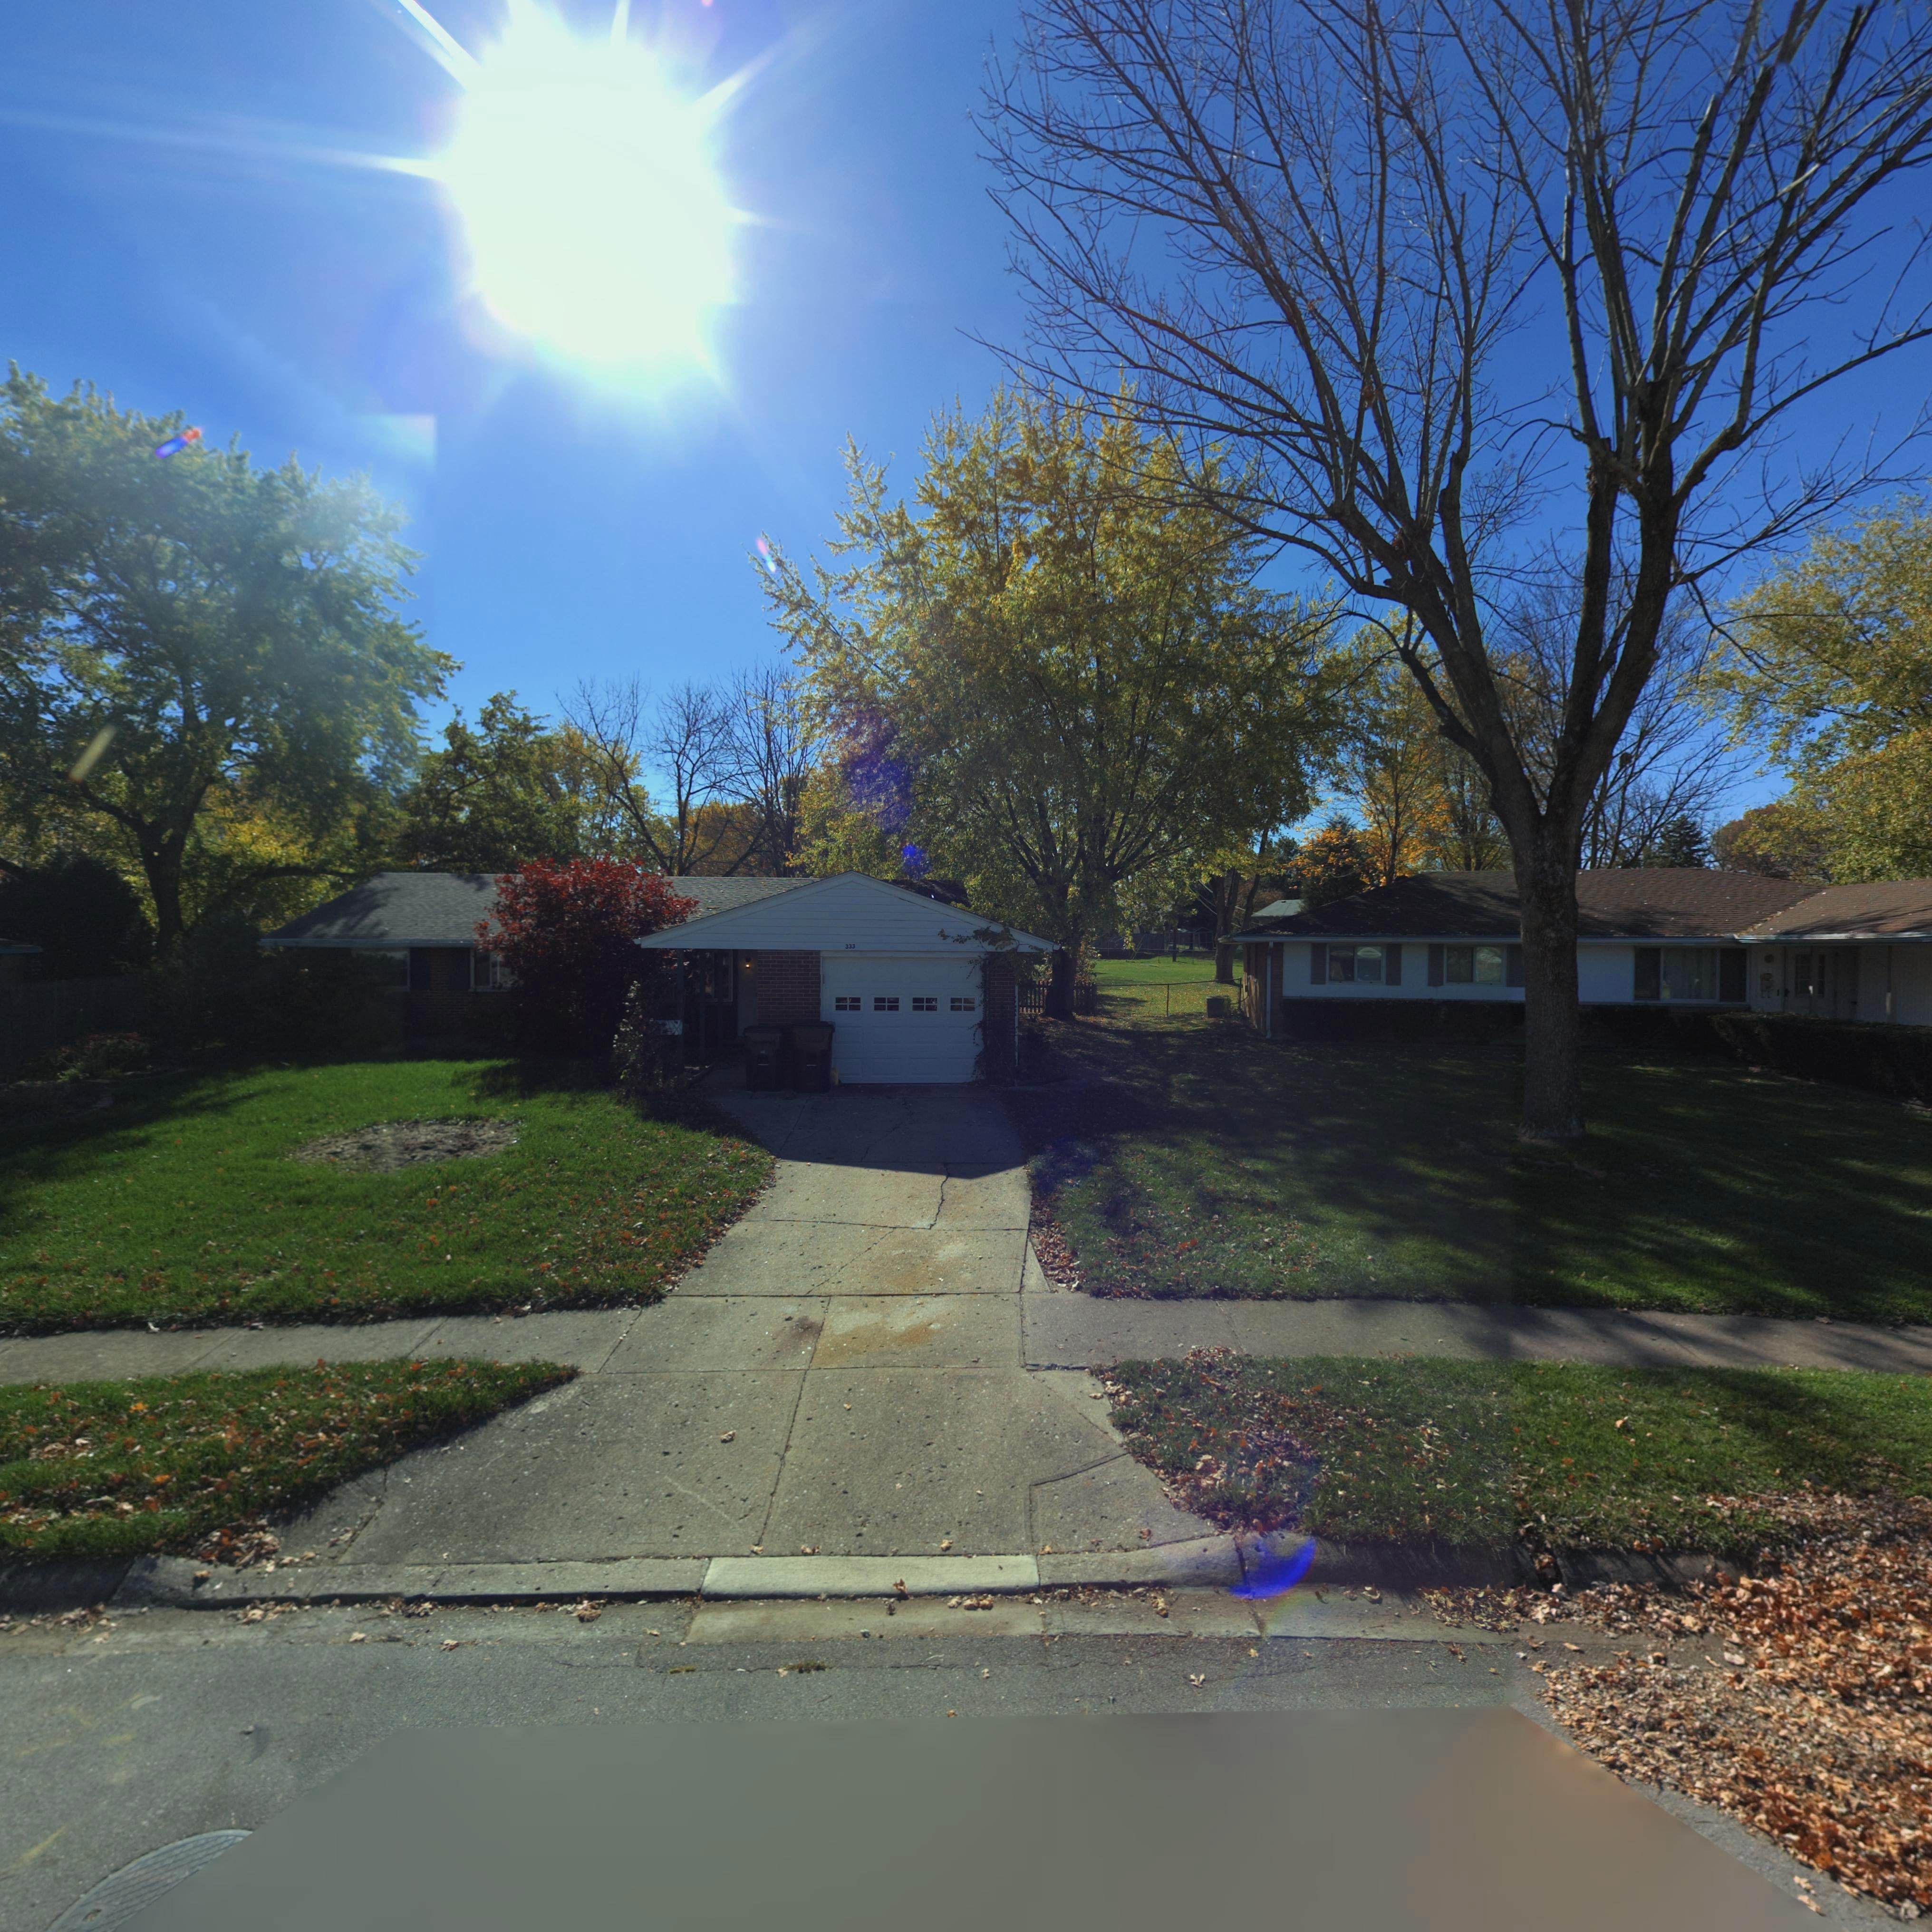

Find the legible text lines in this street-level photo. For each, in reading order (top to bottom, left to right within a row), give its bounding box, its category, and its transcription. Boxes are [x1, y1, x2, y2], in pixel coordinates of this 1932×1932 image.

[844, 943, 857, 950] StreetNumber: 333